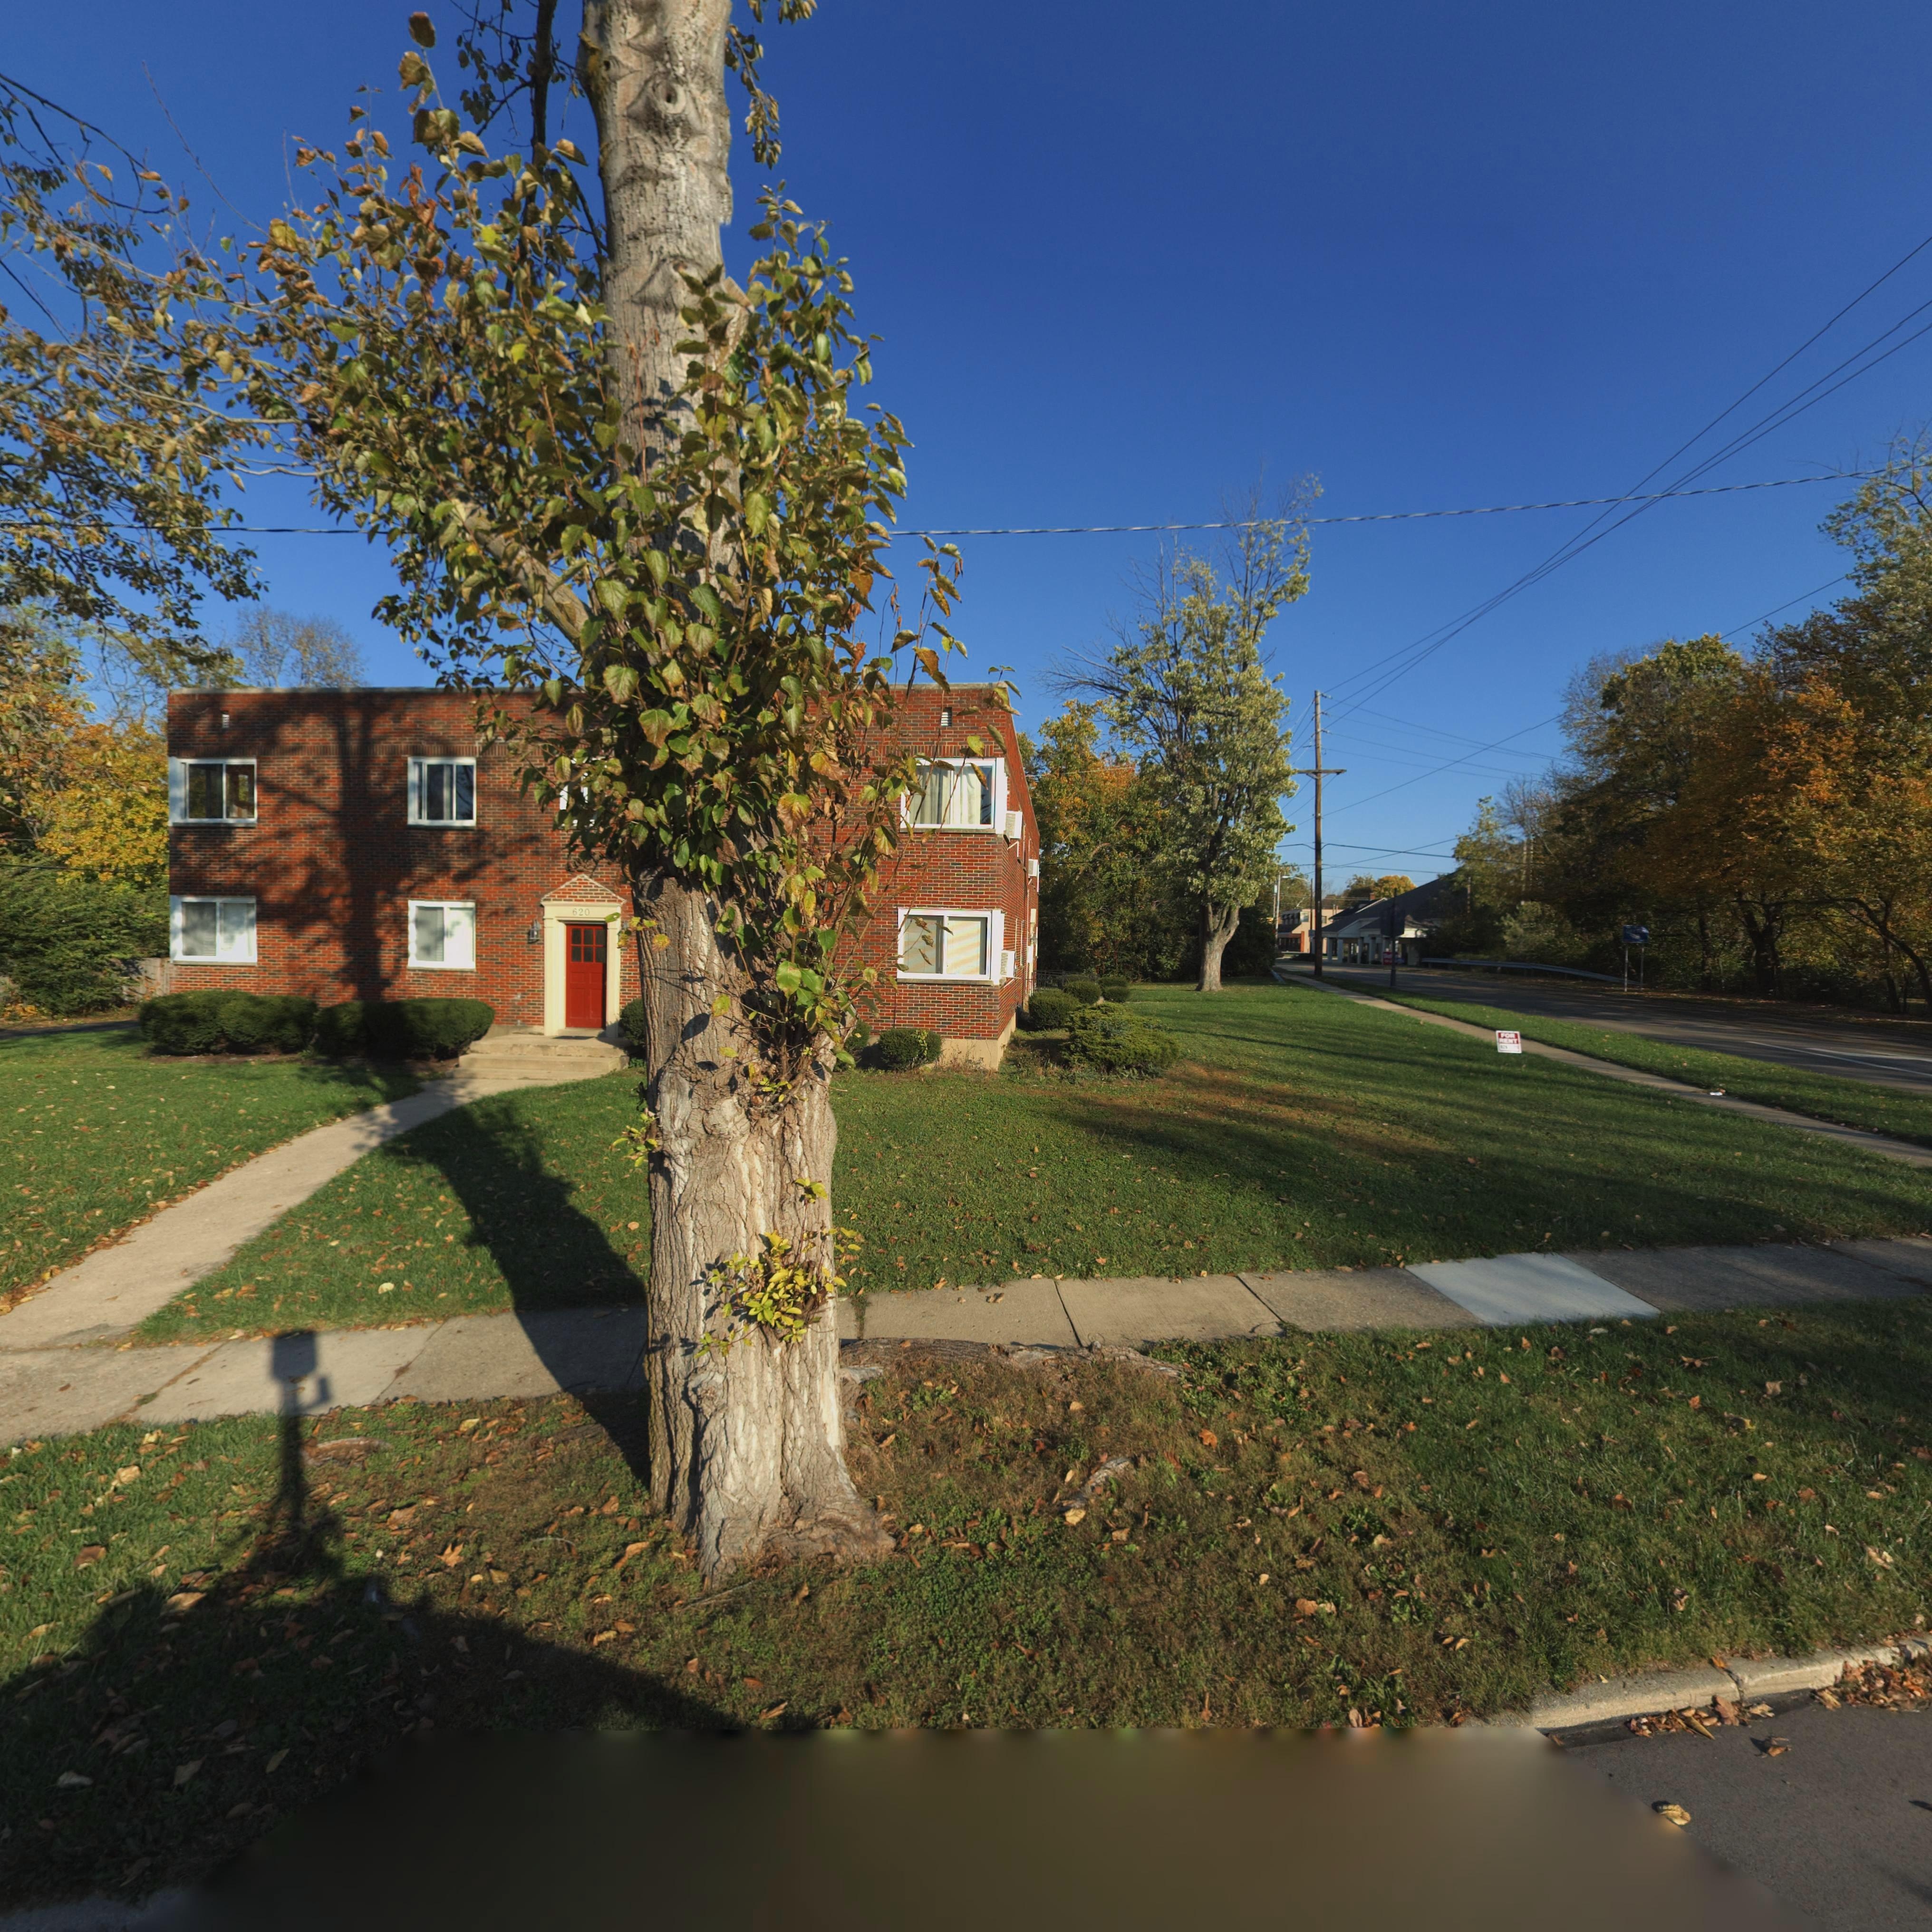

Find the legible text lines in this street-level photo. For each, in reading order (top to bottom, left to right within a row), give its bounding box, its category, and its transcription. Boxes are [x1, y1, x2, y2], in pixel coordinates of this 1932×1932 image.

[572, 907, 590, 917] StreetNumber: 620